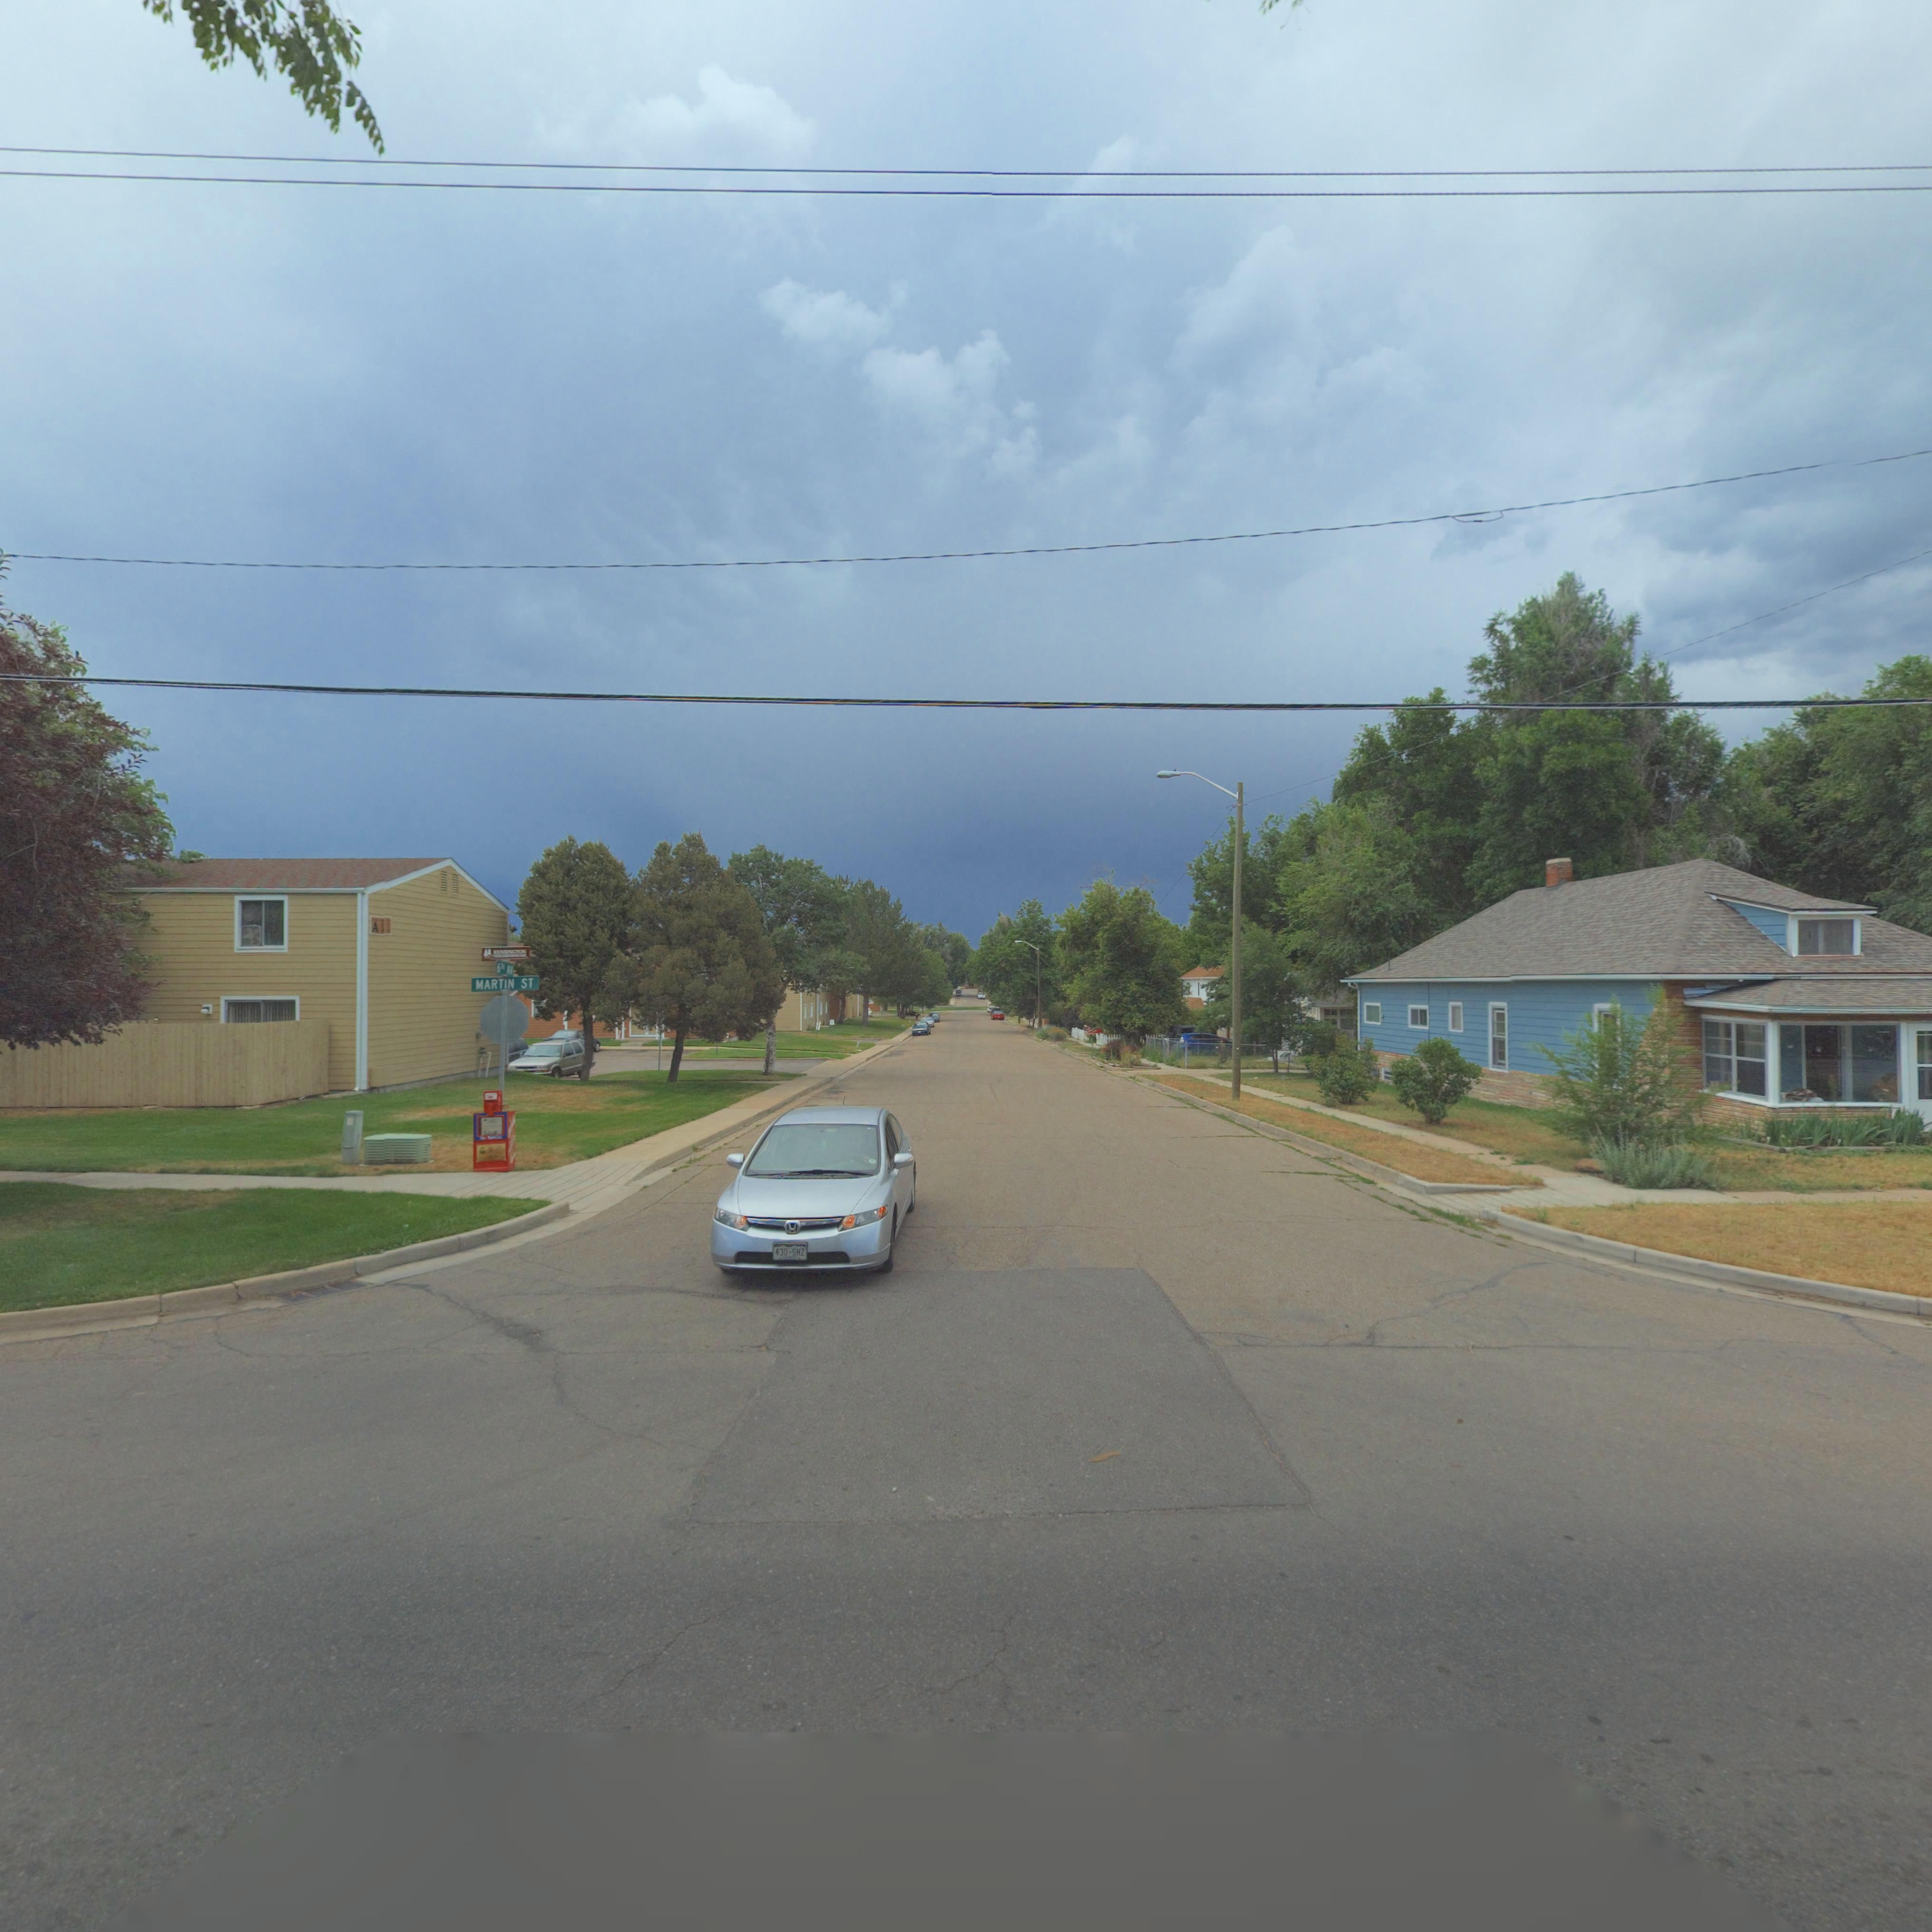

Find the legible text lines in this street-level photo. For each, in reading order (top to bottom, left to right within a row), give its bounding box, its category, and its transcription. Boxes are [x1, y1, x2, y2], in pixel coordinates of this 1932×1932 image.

[496, 963, 513, 975] StreetName: 6TH AV
[475, 977, 534, 989] StreetName: MARTIN ST